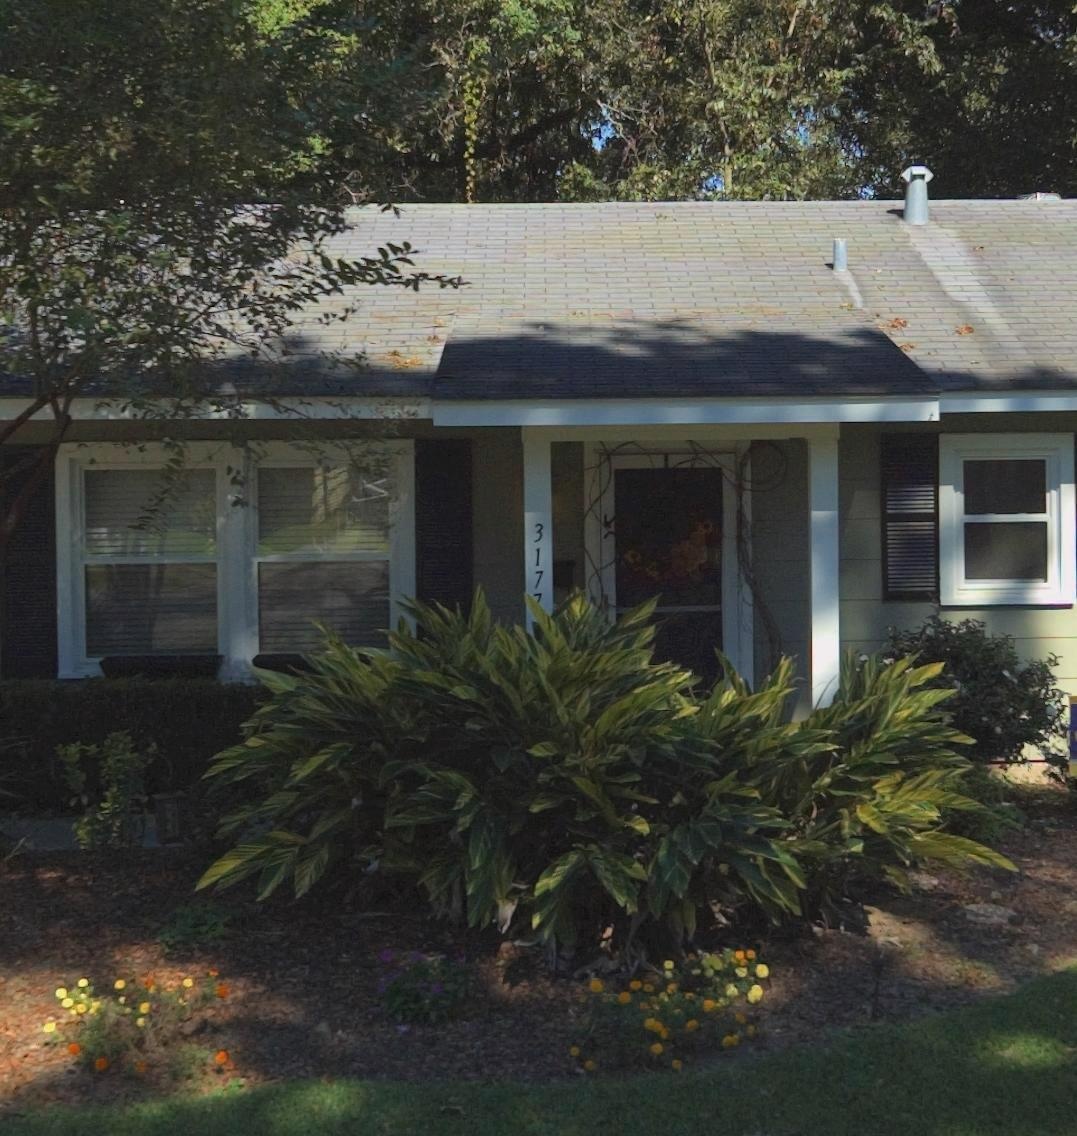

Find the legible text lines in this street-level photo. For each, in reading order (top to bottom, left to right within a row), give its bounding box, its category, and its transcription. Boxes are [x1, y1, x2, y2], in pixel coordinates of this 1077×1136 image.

[532, 521, 546, 610] StreetNumber: 317*